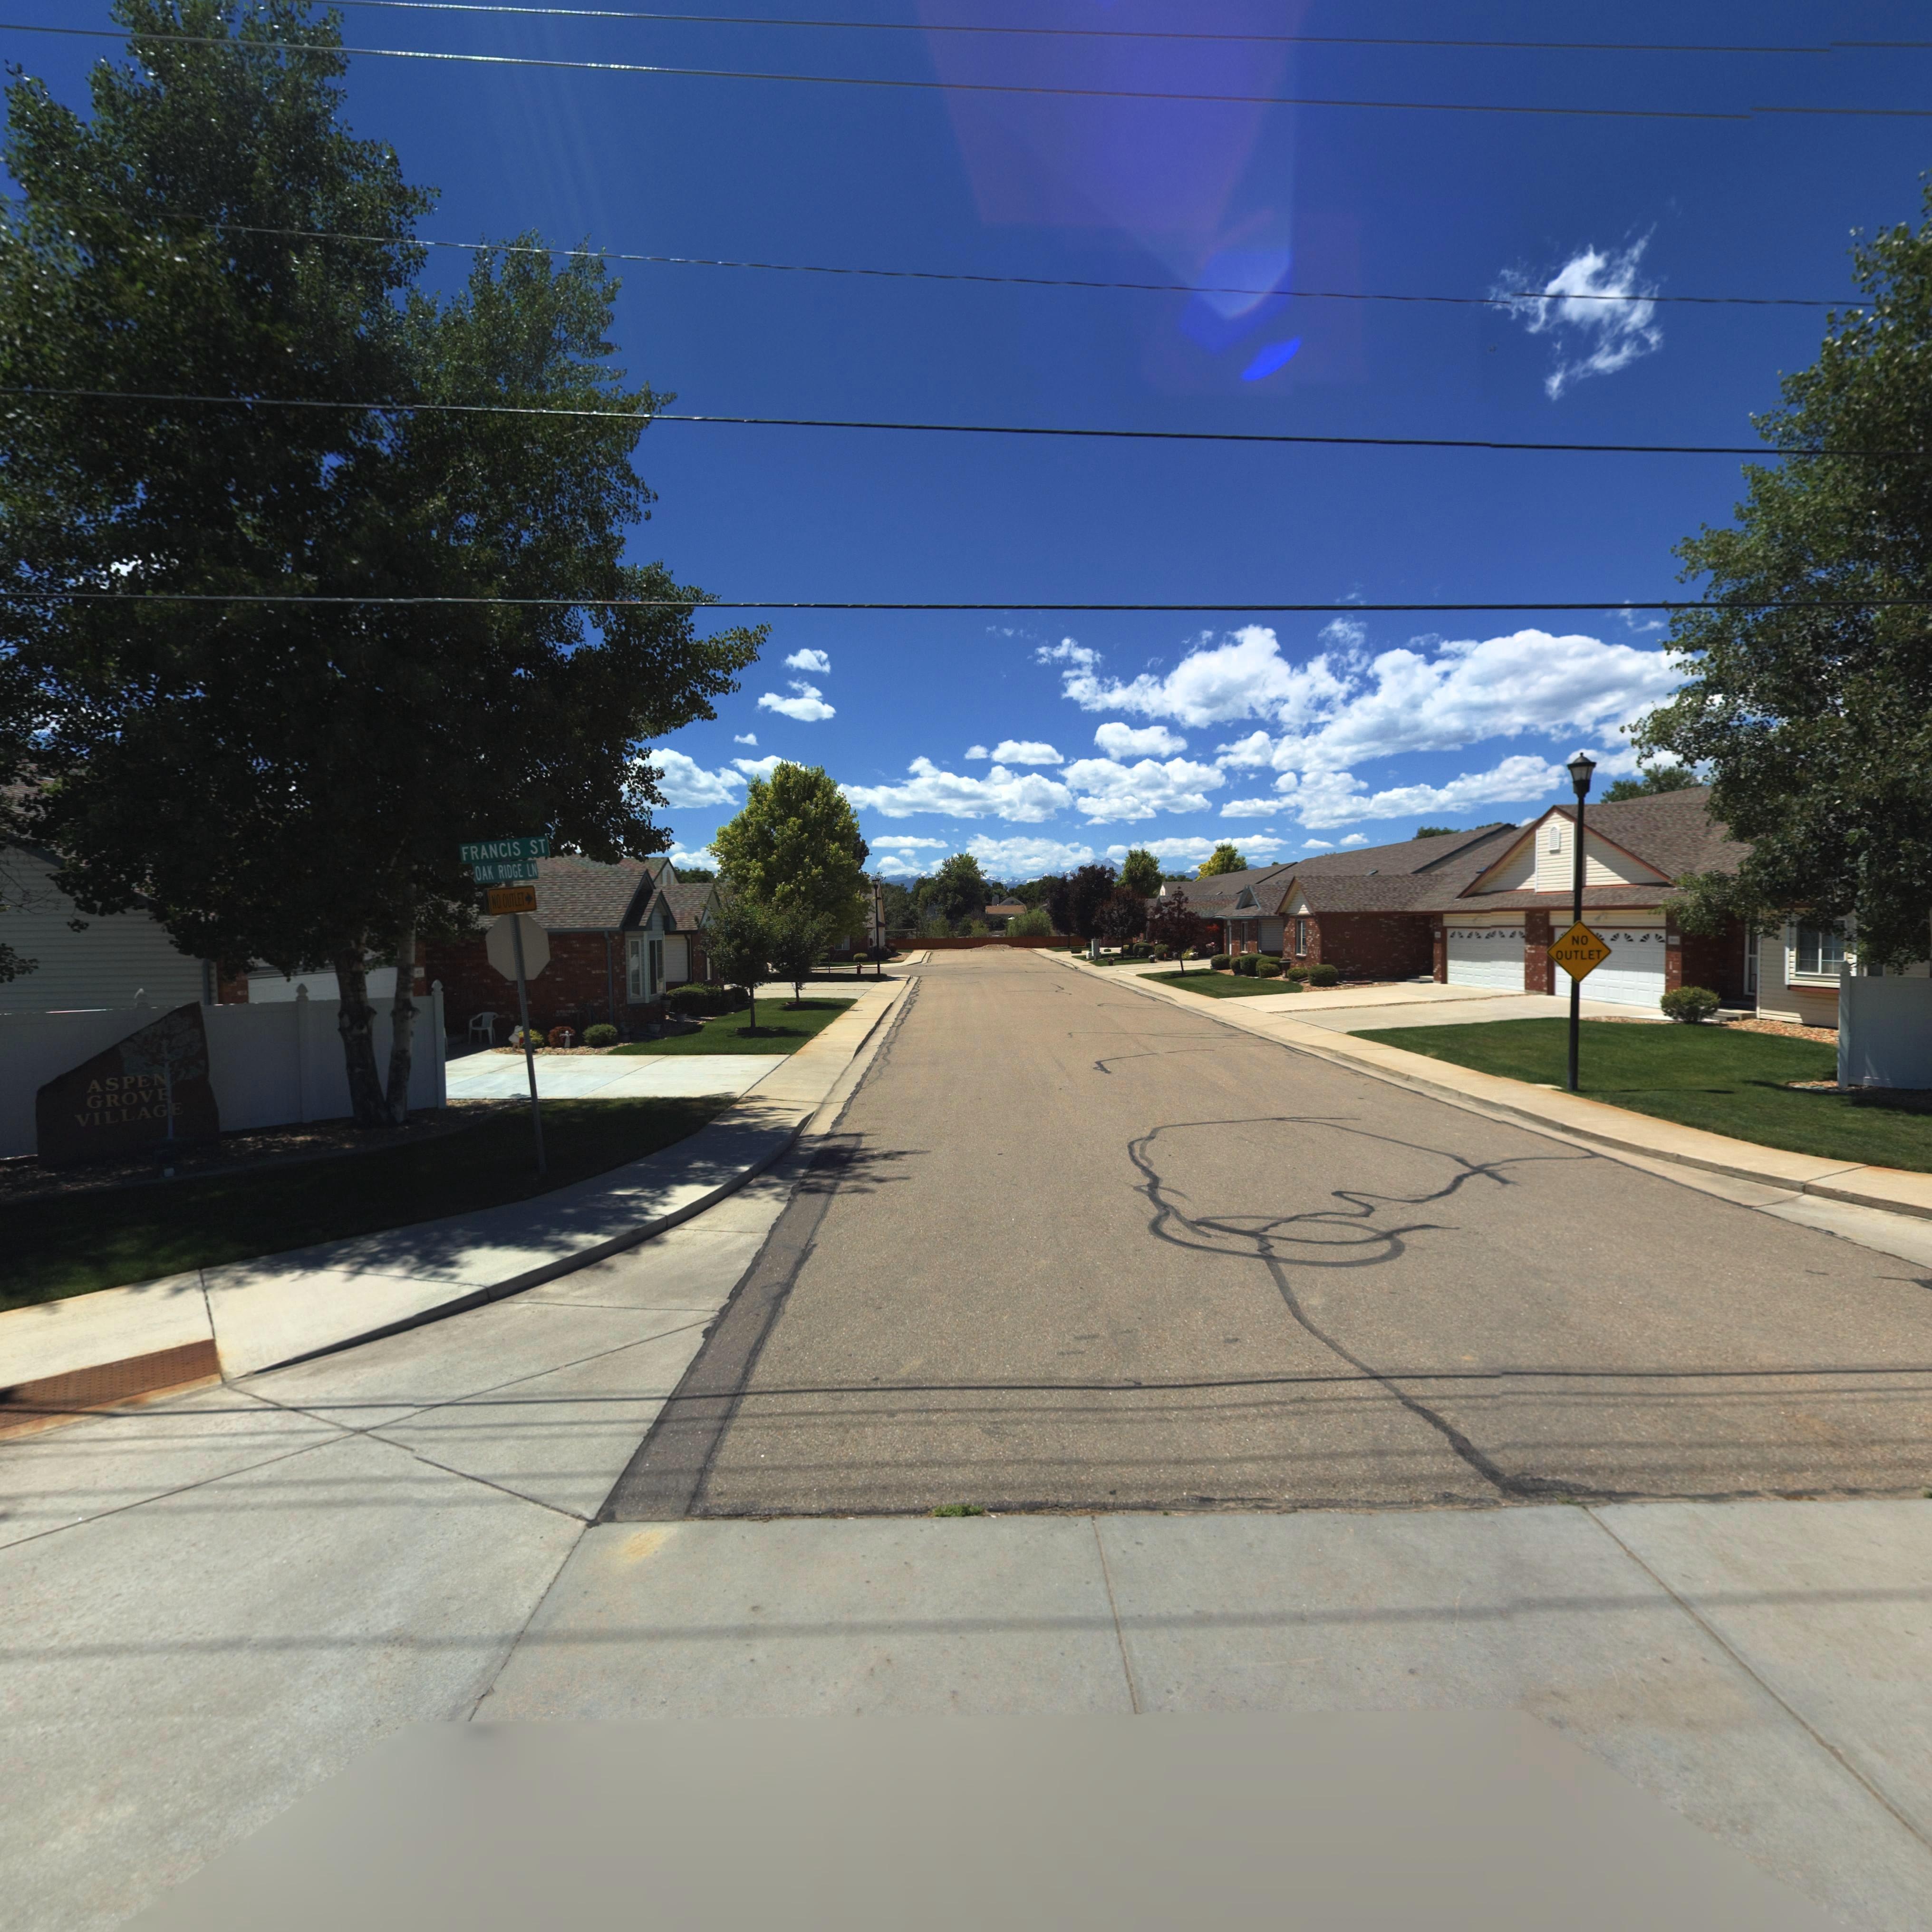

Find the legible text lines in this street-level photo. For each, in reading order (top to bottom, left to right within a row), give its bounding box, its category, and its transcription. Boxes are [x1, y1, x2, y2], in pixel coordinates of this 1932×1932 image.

[461, 838, 545, 861] StreetName: Francis St
[474, 862, 538, 881] StreetName: Oak Ridge Ln
[86, 1072, 168, 1093] BusinessName: Aspen
[86, 1087, 170, 1109] BusinessName: Grove
[73, 1101, 184, 1127] BusinessName: Village